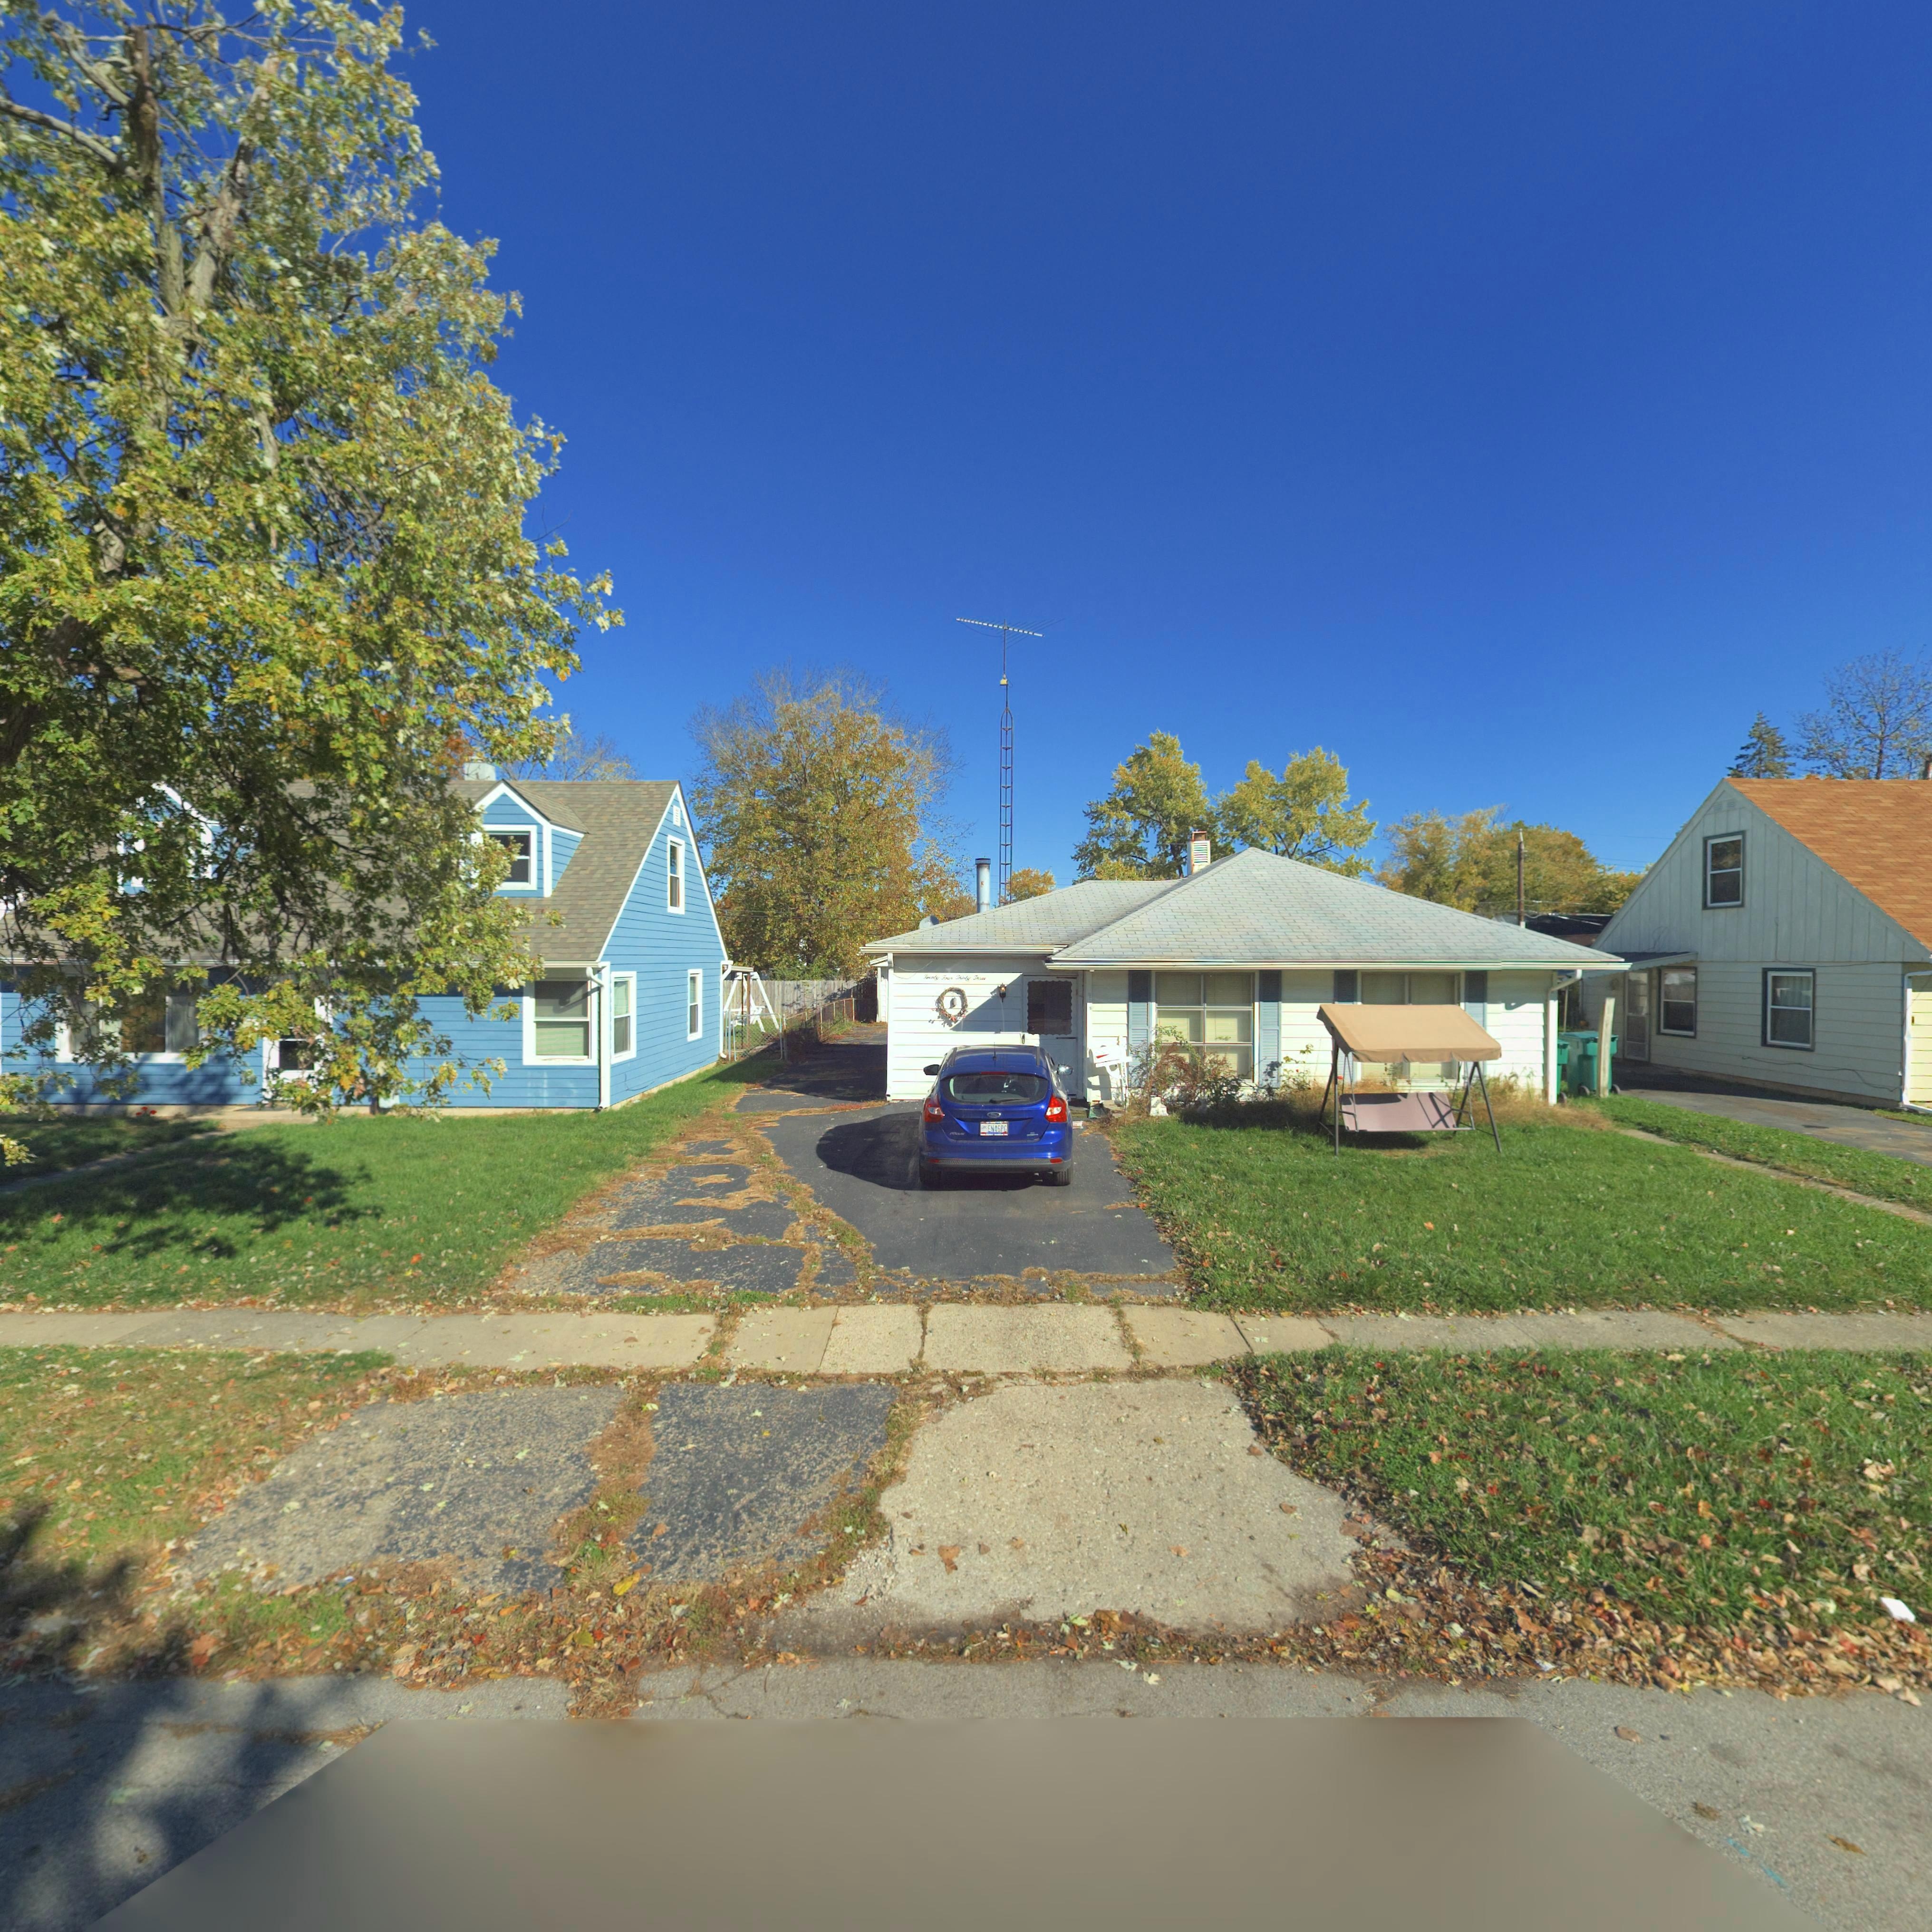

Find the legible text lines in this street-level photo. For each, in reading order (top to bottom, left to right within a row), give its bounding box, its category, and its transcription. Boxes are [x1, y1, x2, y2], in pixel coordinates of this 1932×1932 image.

[922, 974, 987, 982] StreetNumber: Twenty Four Thirty Three